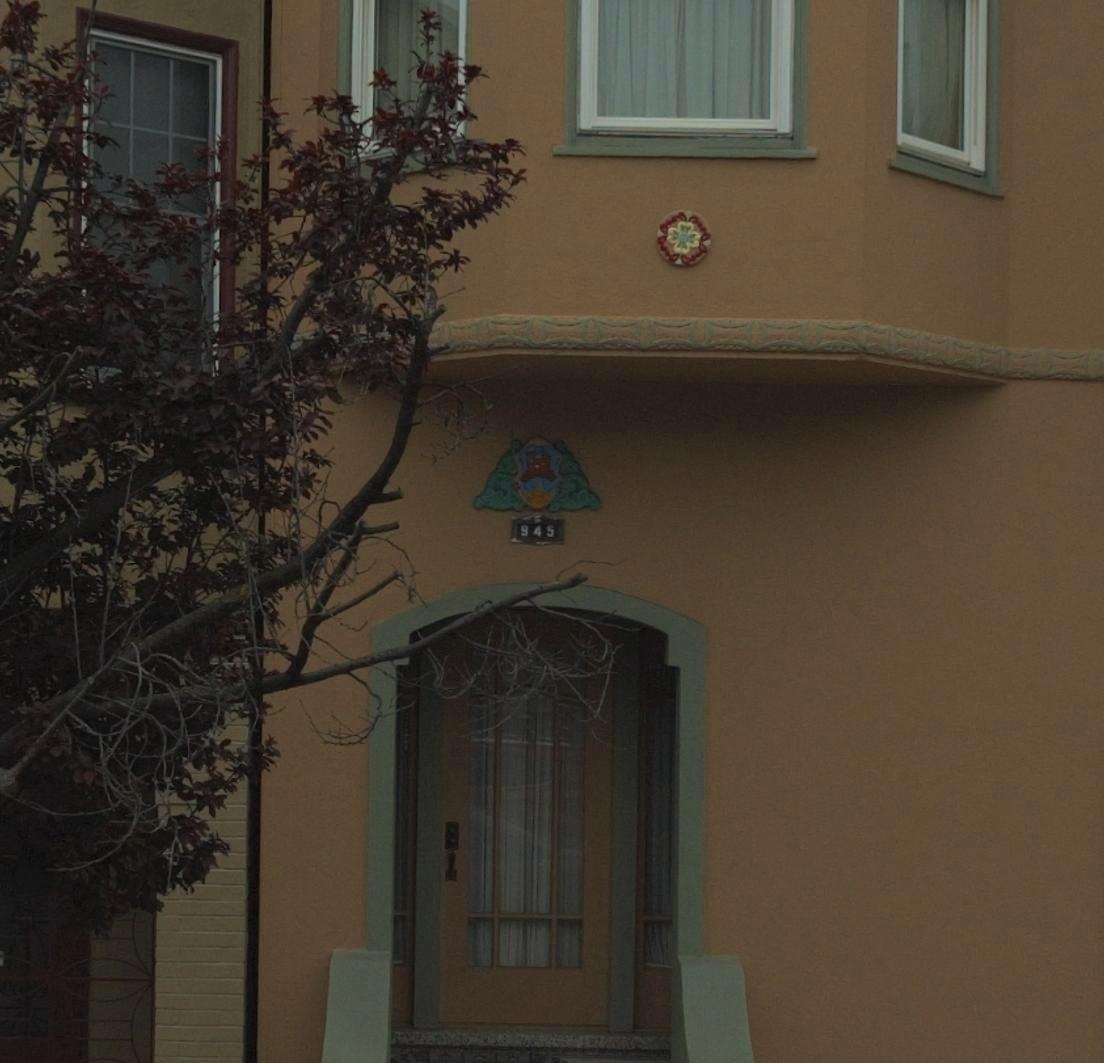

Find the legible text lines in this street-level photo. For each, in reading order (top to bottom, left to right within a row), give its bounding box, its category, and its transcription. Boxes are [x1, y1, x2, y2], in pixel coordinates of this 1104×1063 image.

[518, 523, 556, 539] StreetNumber: 945